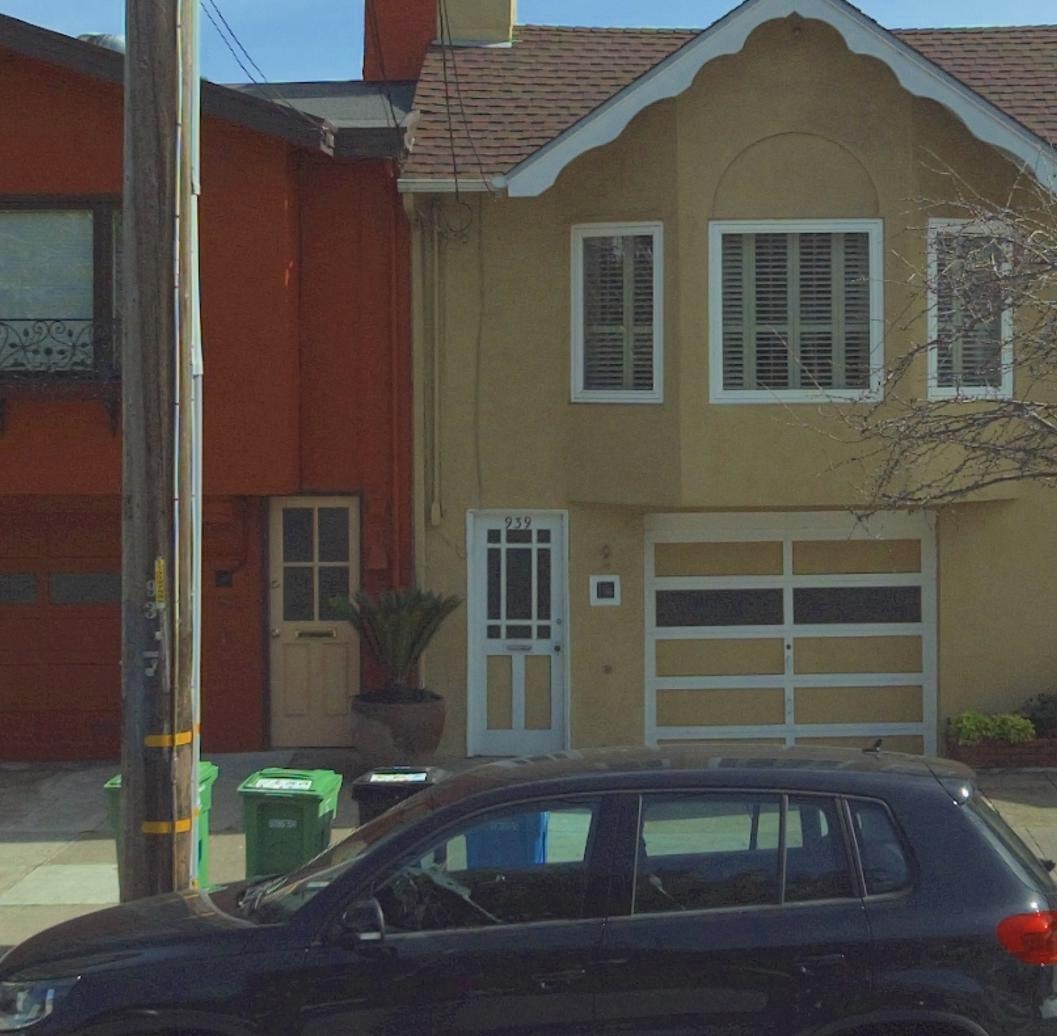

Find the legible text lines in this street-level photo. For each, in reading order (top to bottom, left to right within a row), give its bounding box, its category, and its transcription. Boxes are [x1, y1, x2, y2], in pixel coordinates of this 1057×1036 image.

[503, 514, 533, 530] StreetNumber: 939
[144, 578, 157, 597] None: 9
[143, 600, 158, 620] None: 3